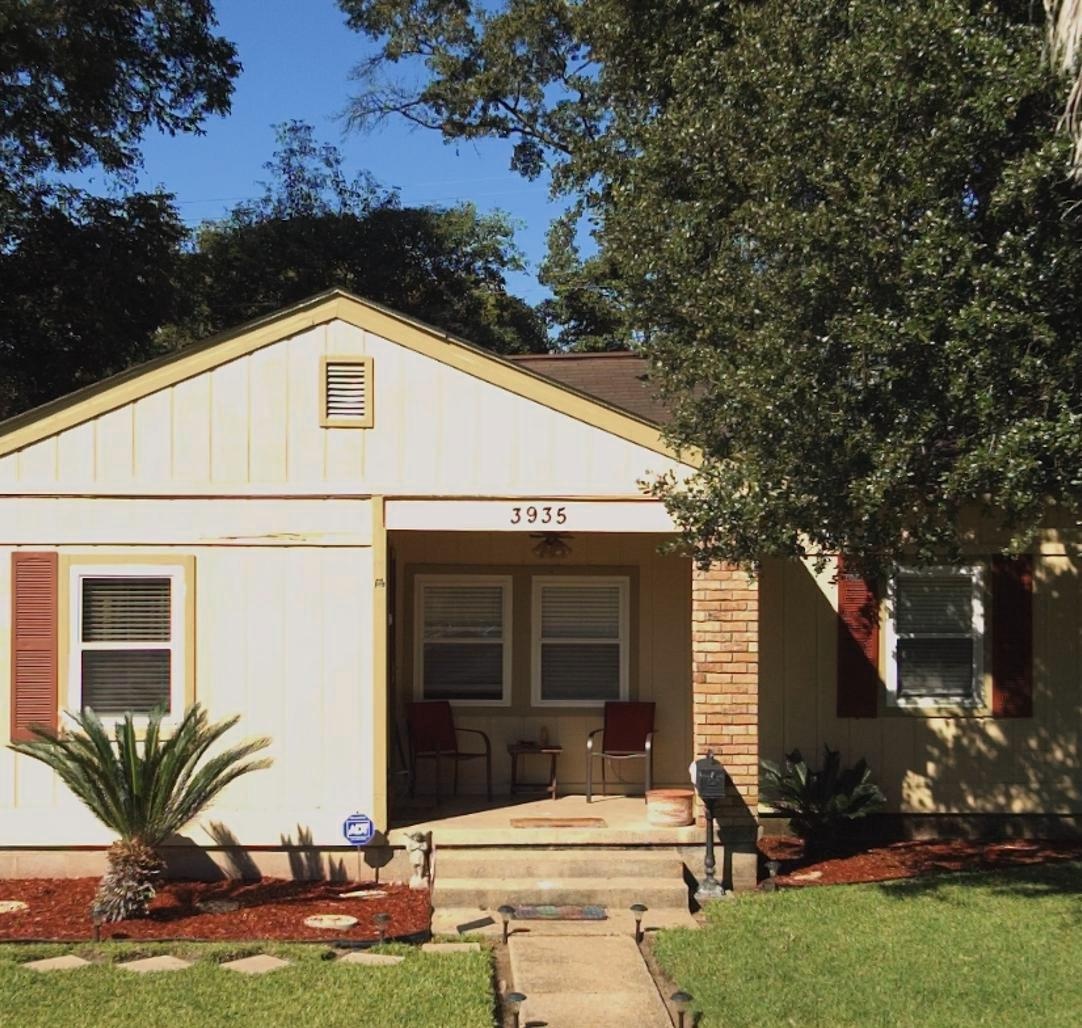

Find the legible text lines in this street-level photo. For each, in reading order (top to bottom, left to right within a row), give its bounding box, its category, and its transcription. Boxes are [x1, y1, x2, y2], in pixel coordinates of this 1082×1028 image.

[509, 505, 568, 525] StreetNumber: 3935
[346, 822, 371, 837] None: ADT